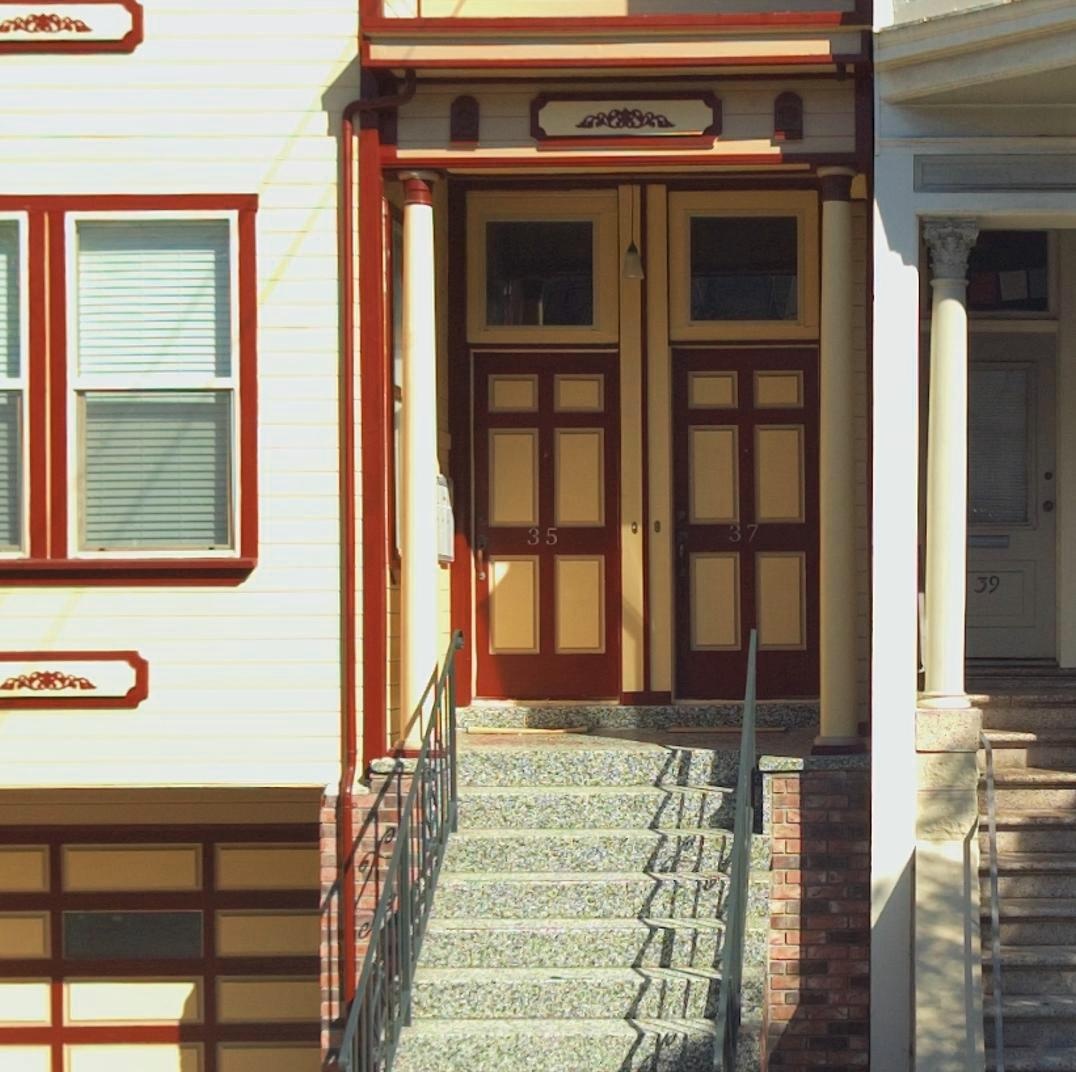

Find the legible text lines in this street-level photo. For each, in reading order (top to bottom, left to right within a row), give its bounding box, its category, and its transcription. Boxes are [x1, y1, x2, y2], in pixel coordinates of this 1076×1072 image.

[526, 526, 559, 547] StreetNumber: 35
[728, 523, 759, 544] StreetNumber: 37
[973, 573, 1001, 596] StreetNumber: 39